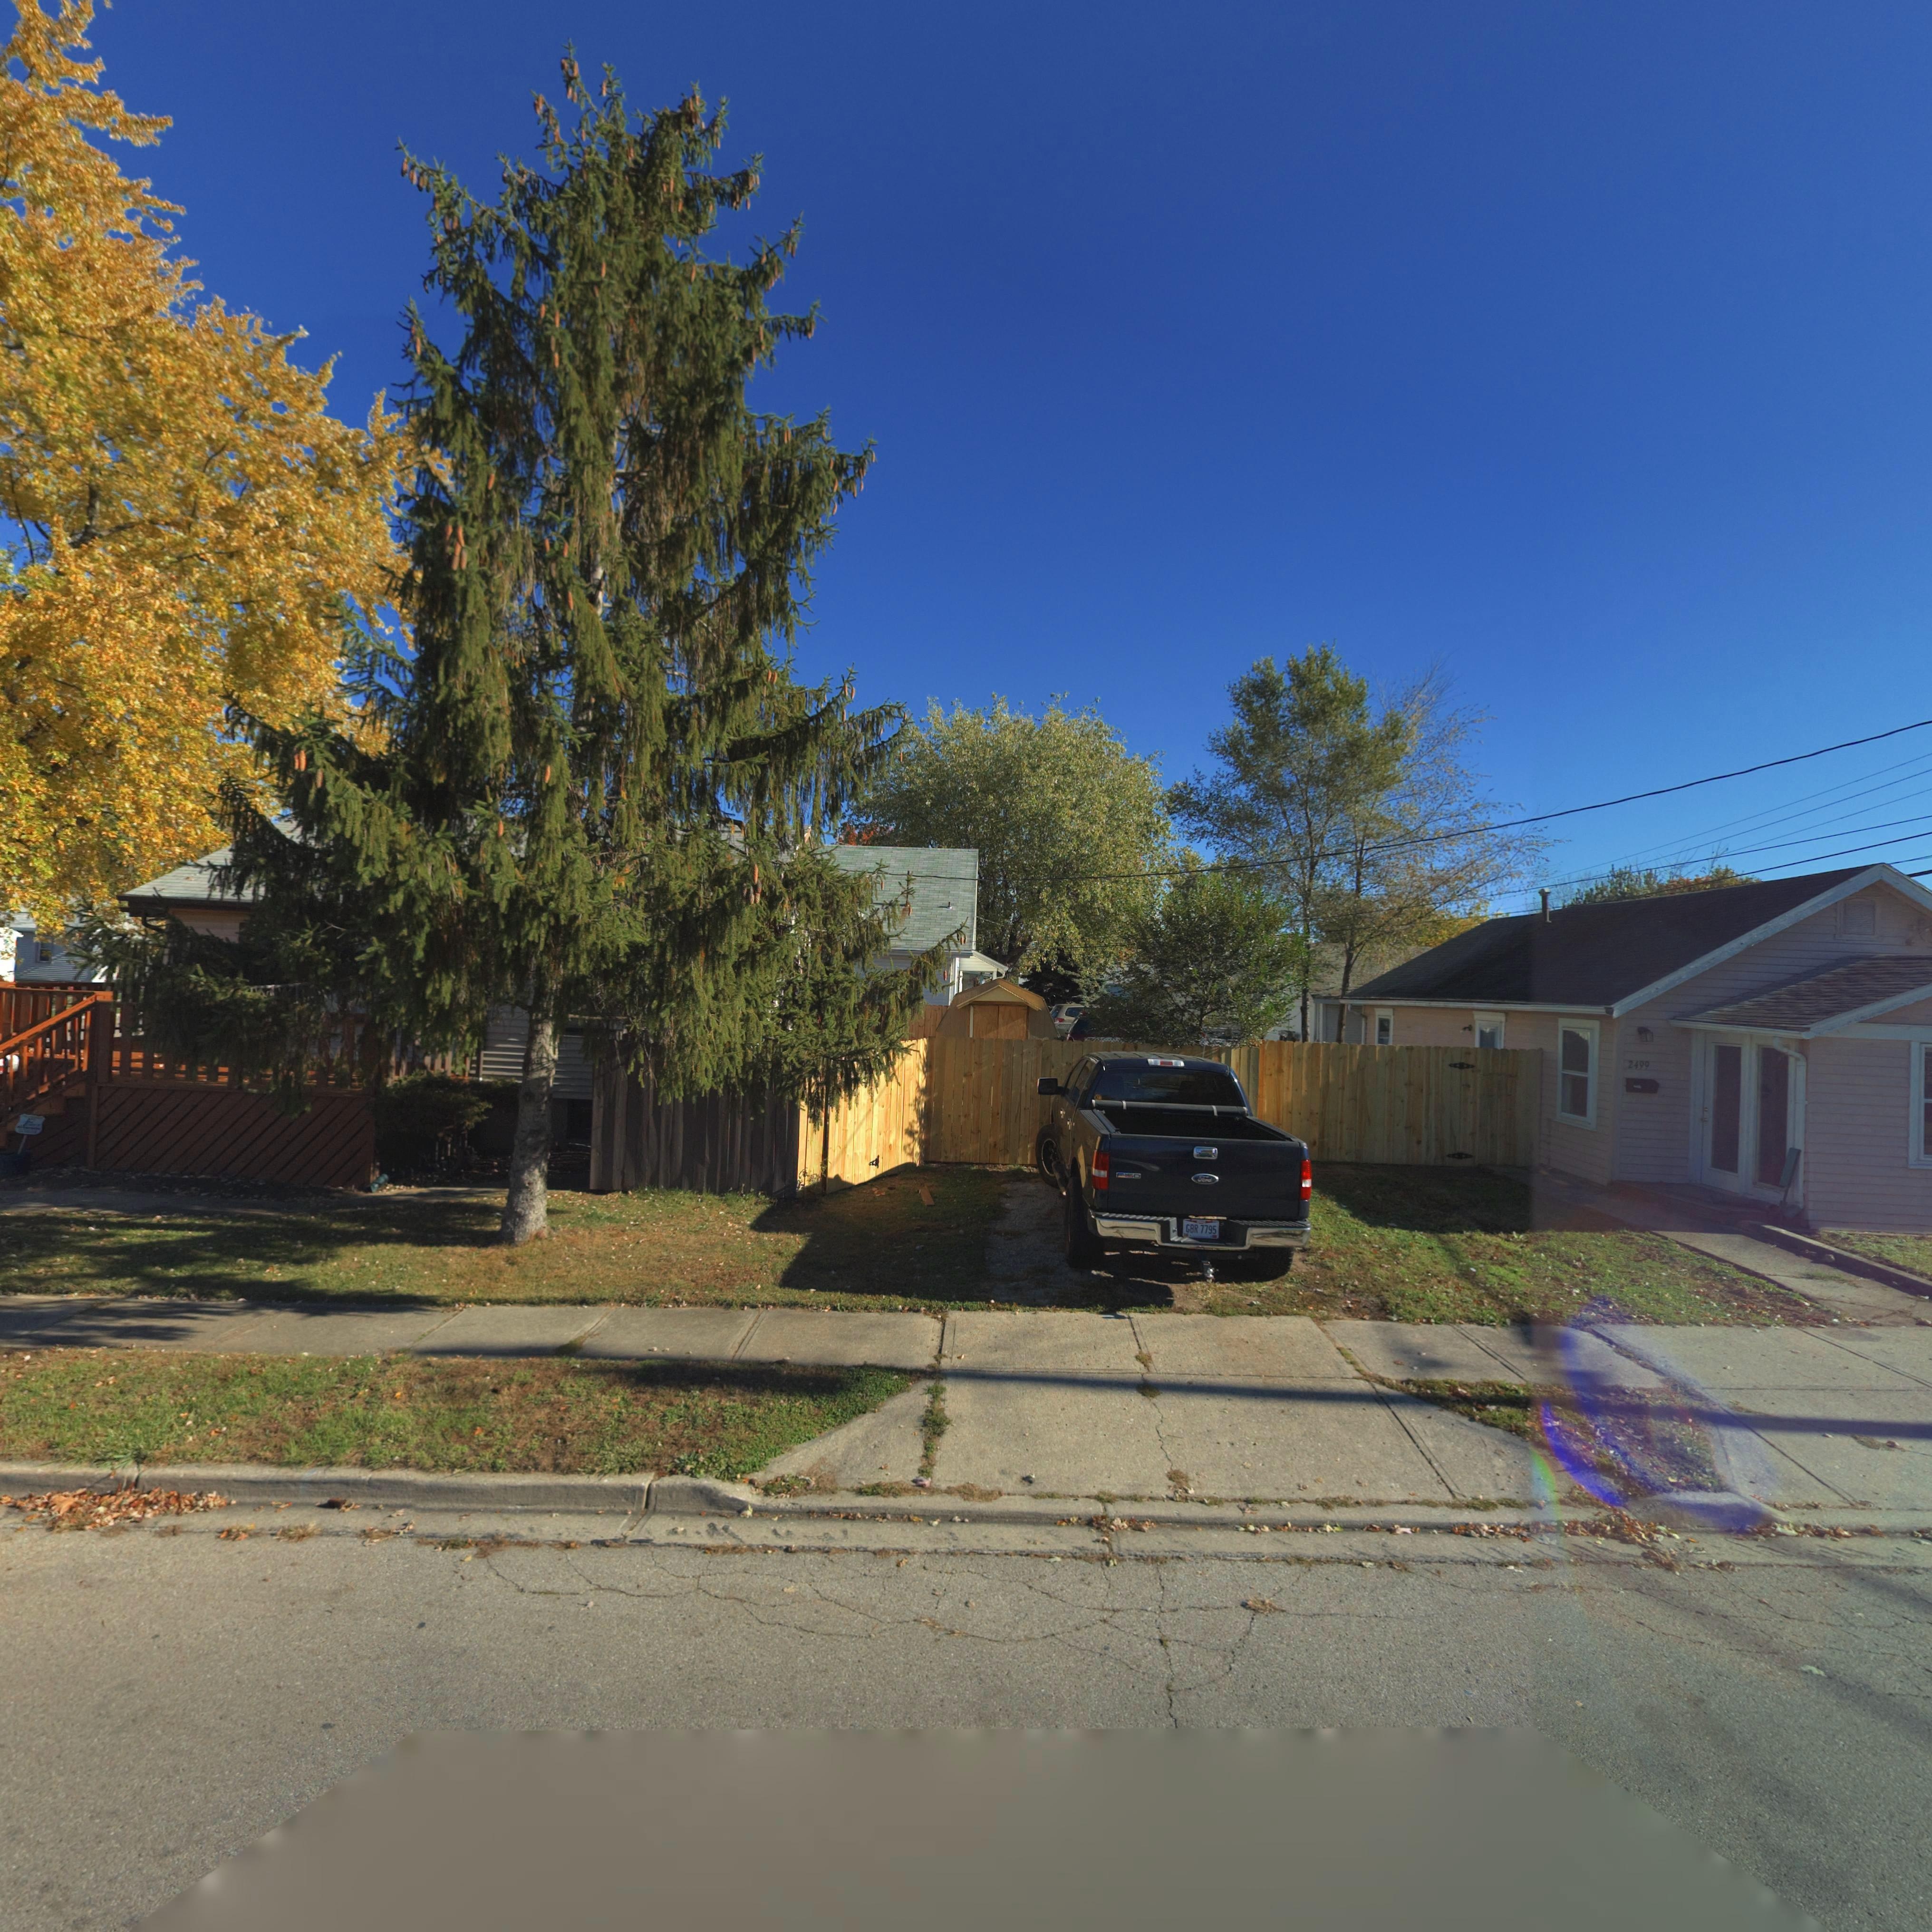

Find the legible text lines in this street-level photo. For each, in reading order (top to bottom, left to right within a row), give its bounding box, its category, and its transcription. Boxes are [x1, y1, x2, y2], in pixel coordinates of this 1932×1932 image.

[1626, 1059, 1651, 1071] StreetNumber: 2499